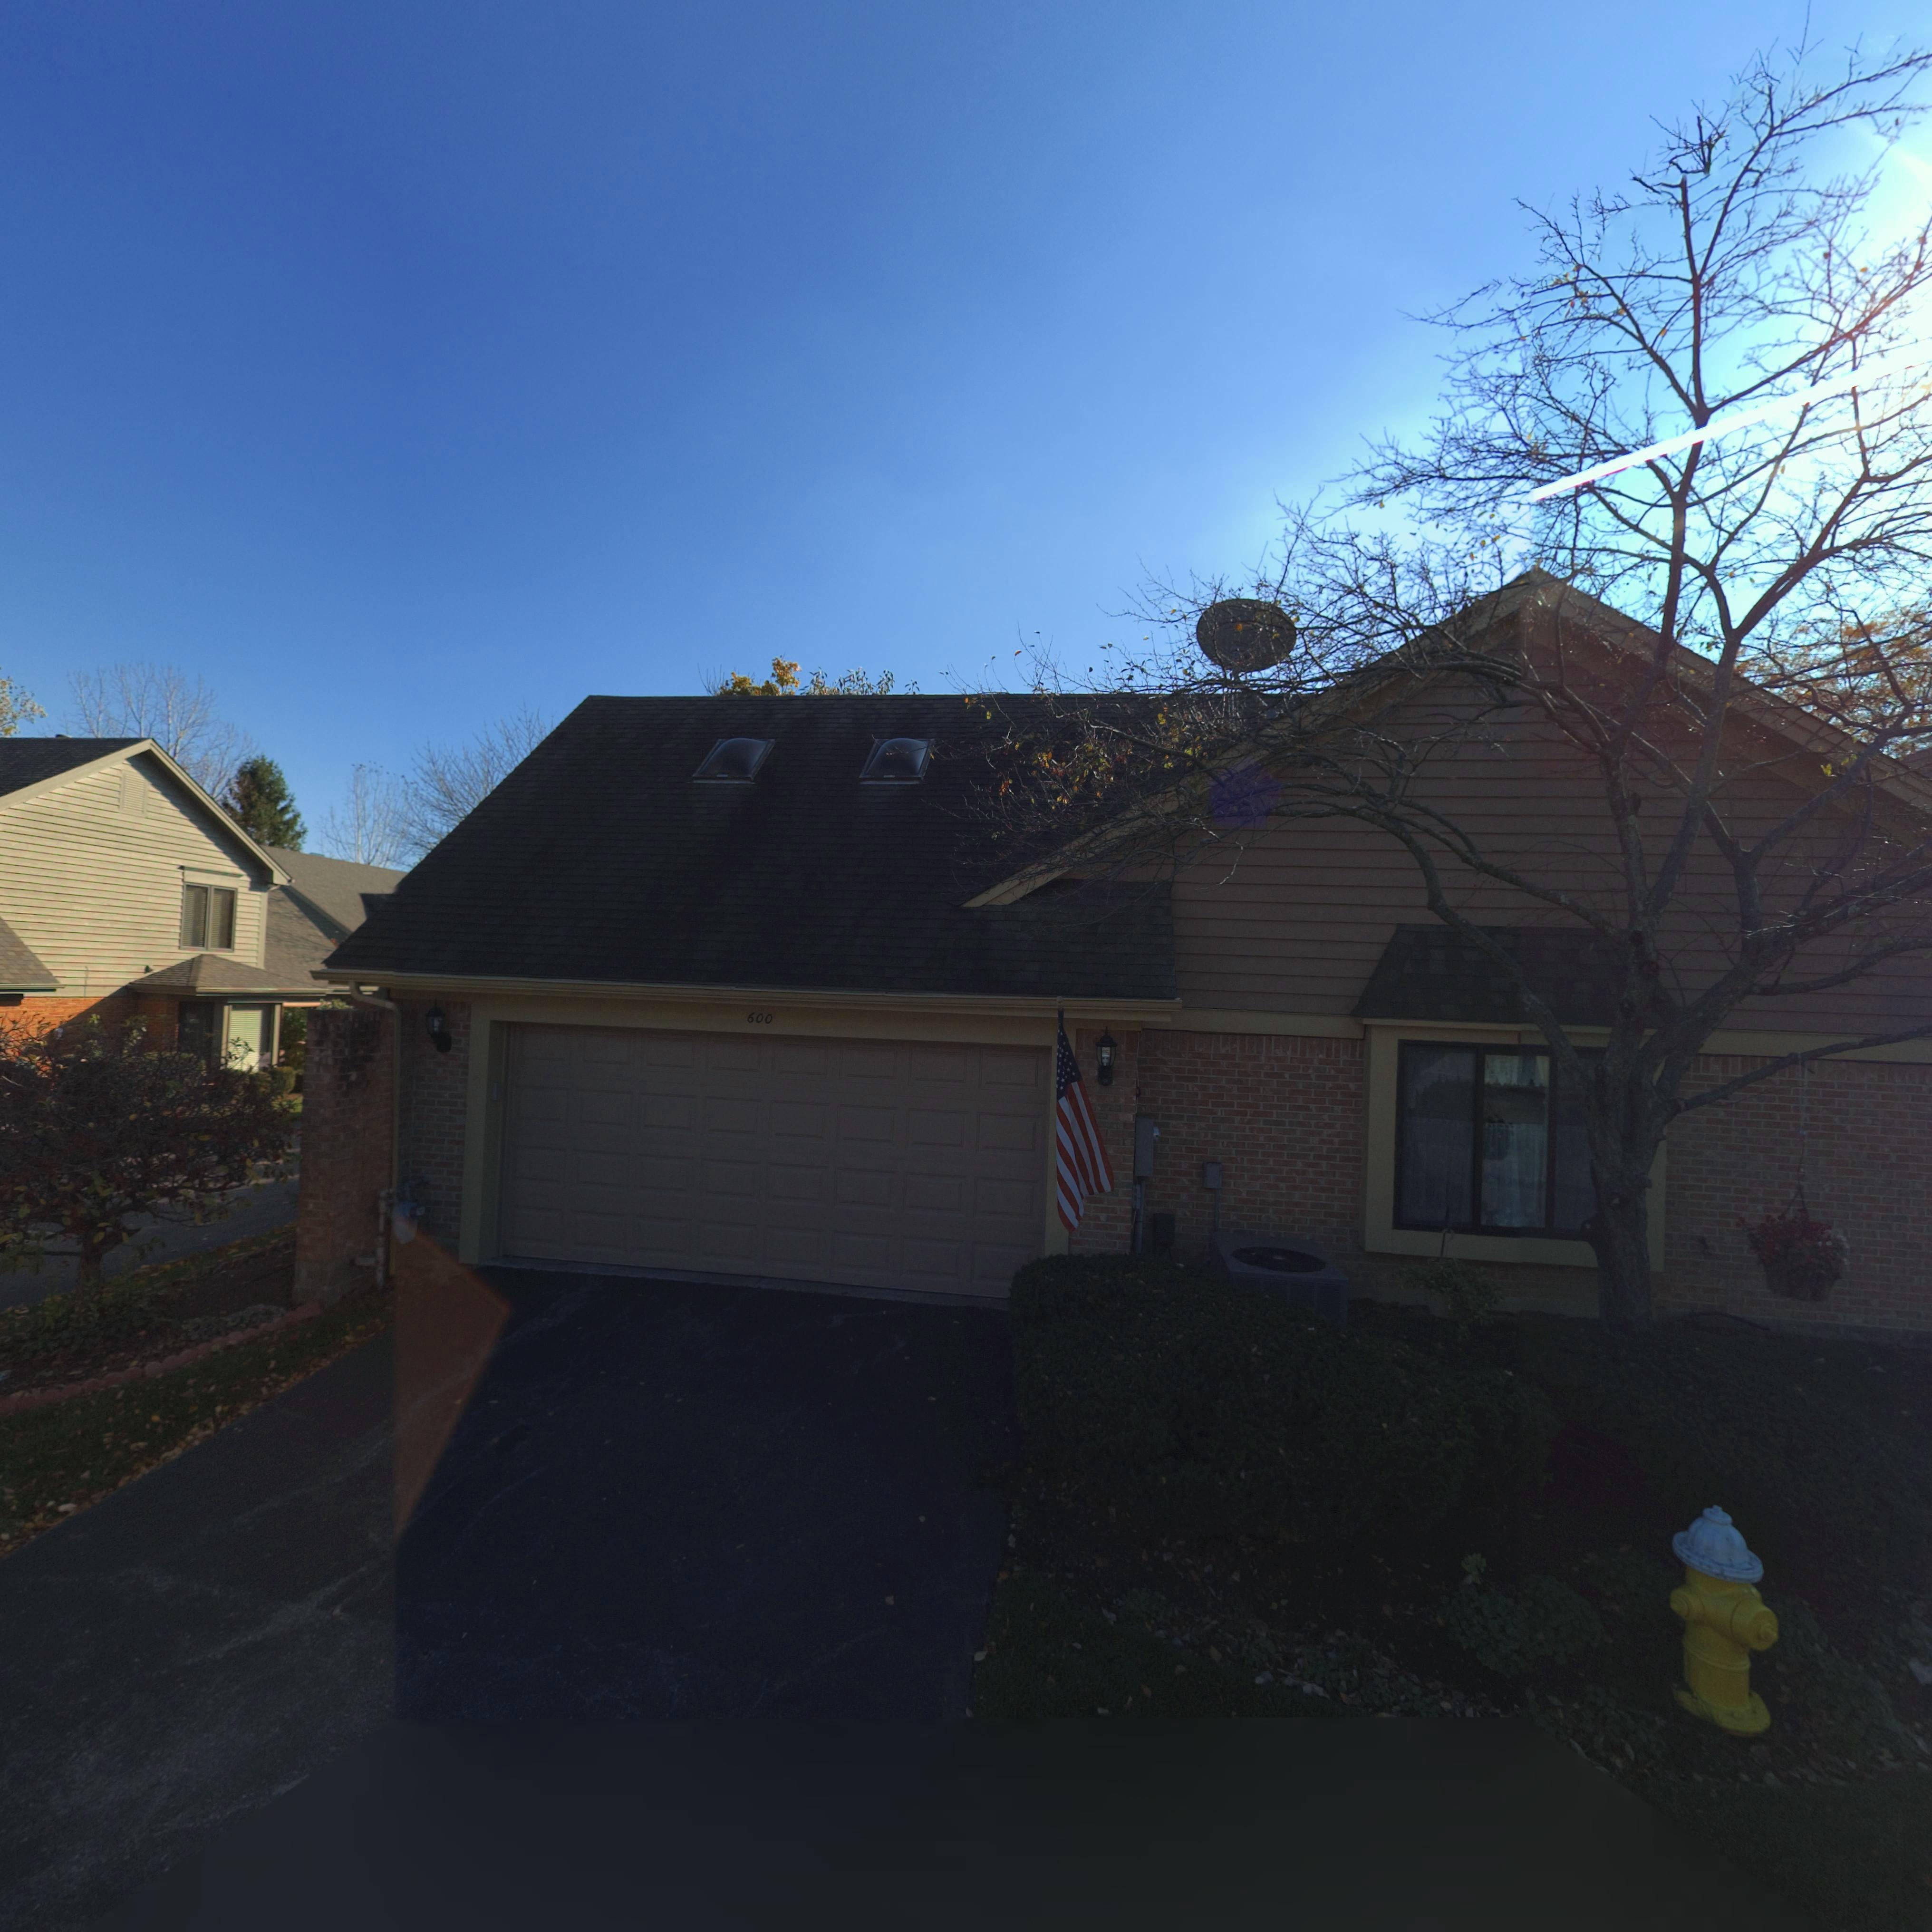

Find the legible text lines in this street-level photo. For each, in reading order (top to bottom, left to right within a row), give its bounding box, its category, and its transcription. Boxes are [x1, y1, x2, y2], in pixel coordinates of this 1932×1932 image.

[745, 1011, 774, 1025] StreetNumber: 600